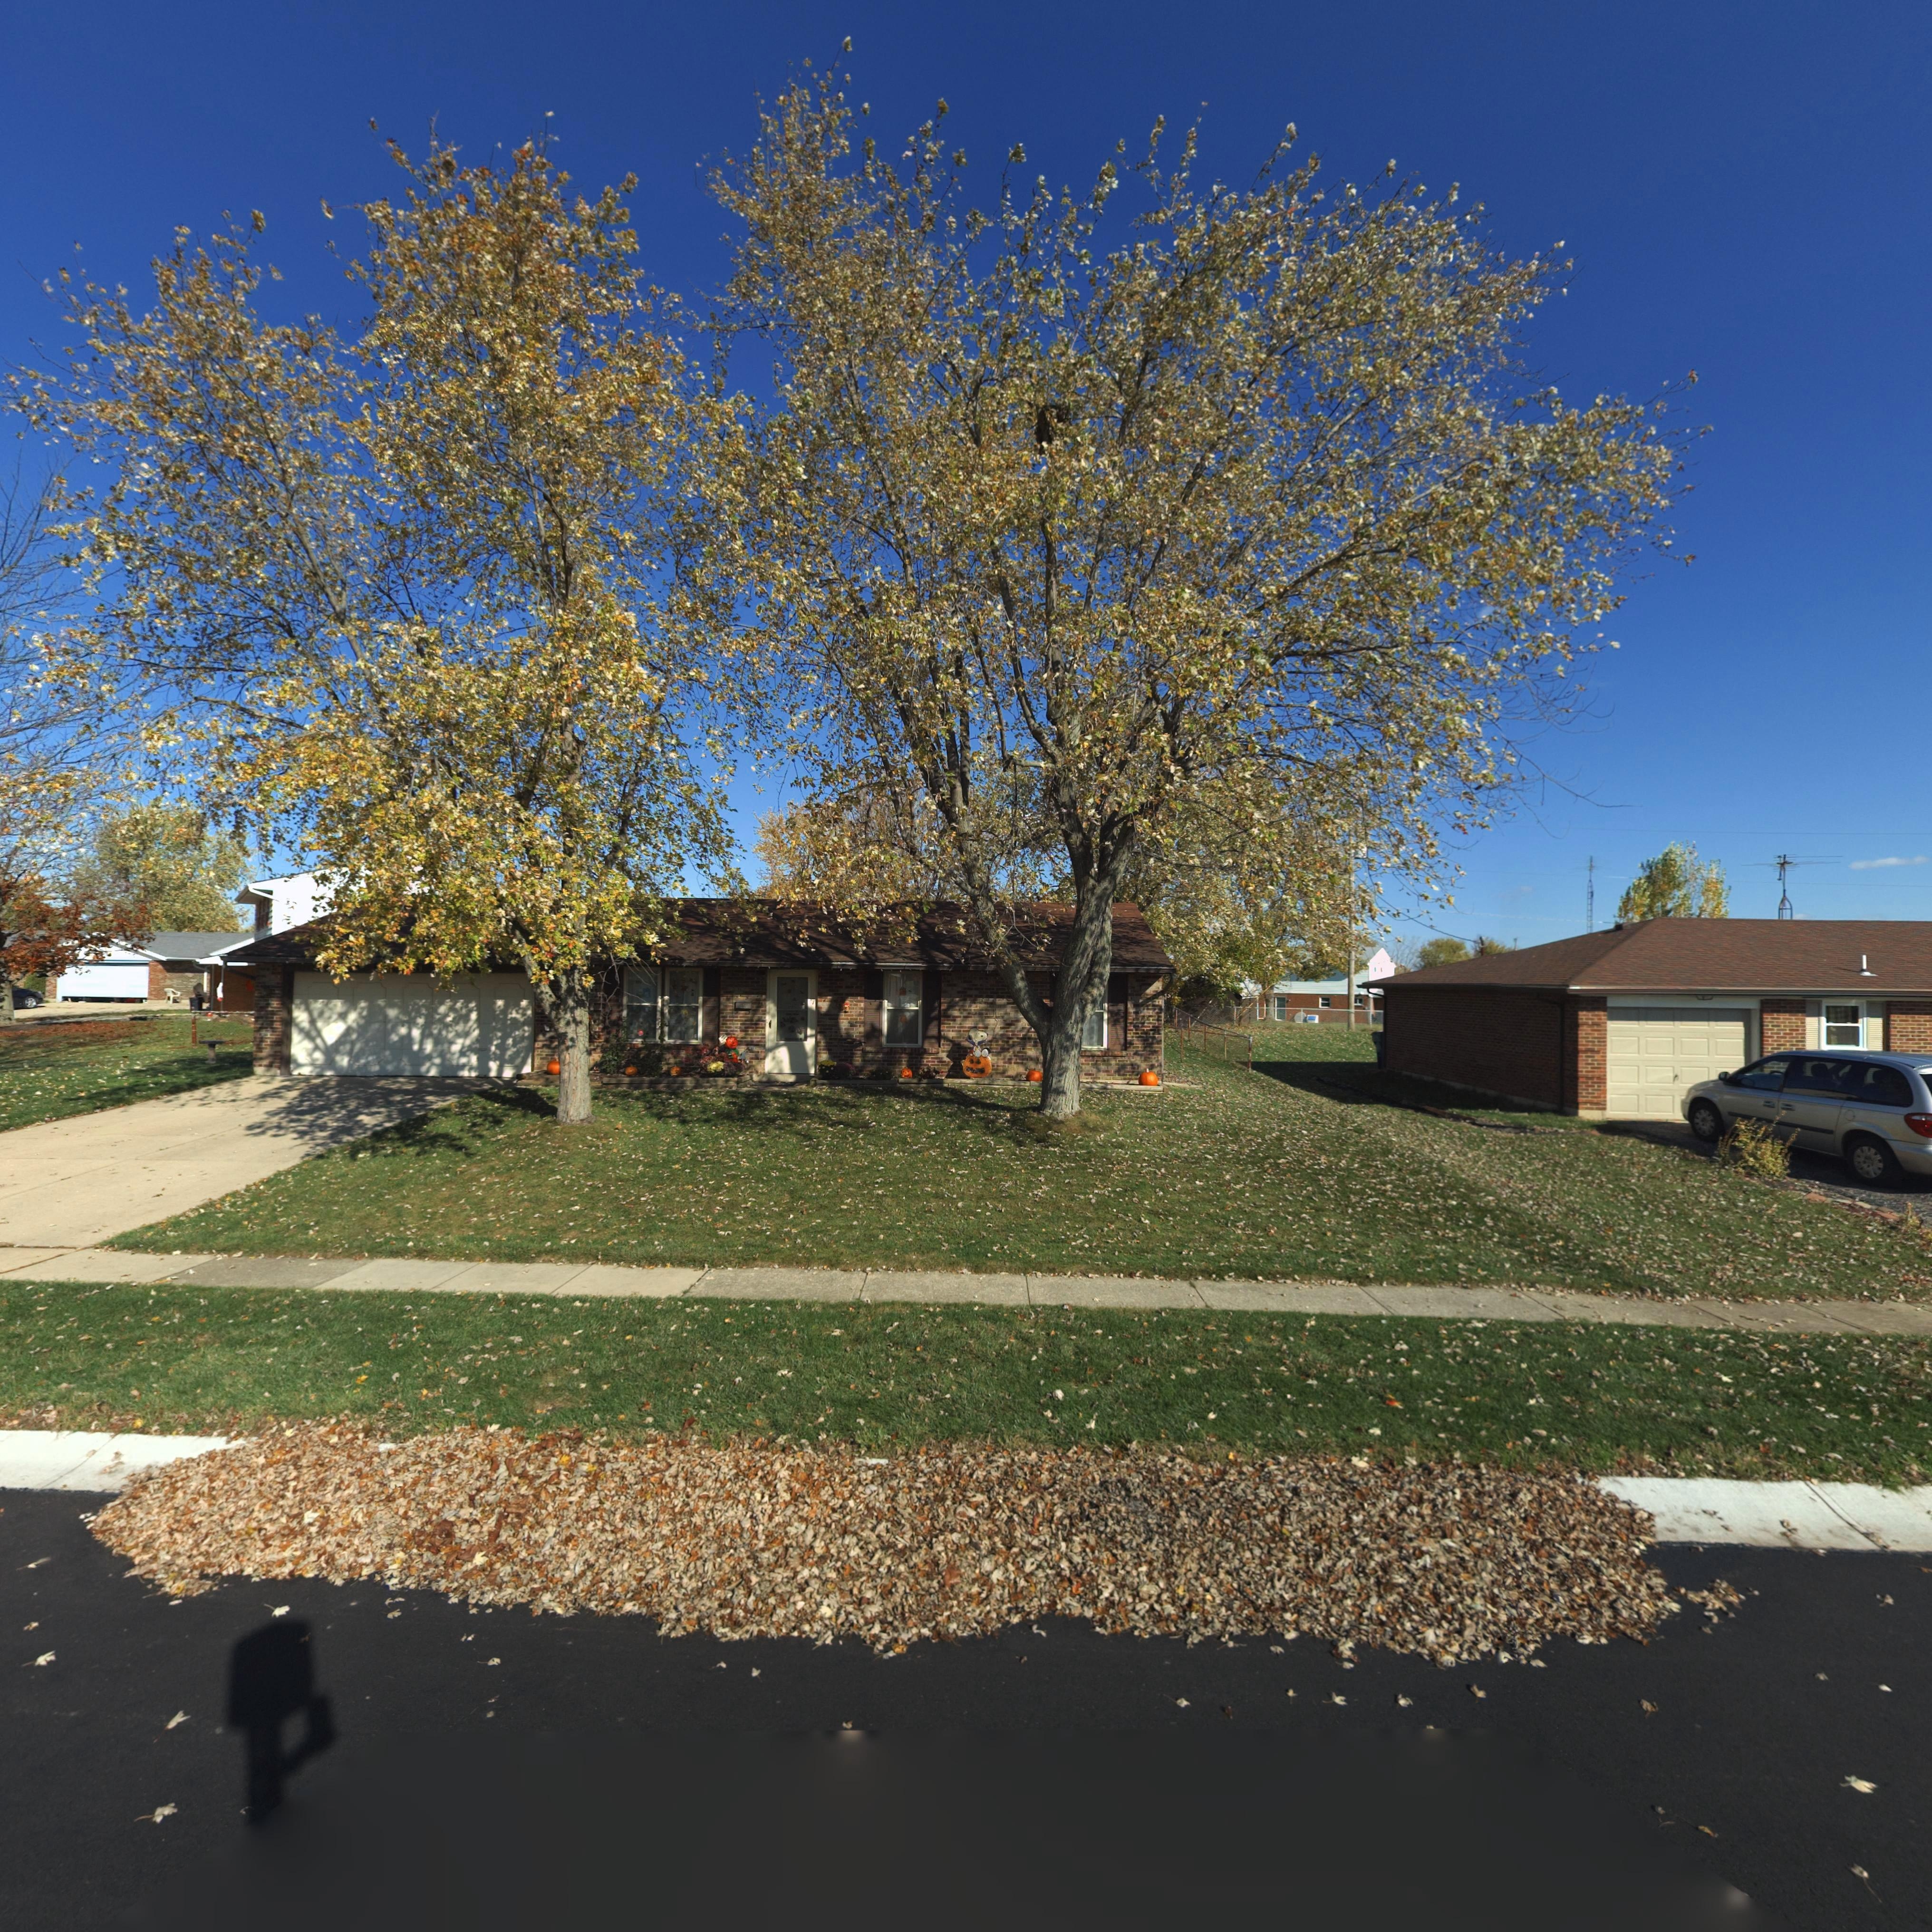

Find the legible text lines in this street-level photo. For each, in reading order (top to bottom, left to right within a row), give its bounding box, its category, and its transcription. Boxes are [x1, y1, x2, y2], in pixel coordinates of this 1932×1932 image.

[418, 965, 423, 972] StreetNumber: 9